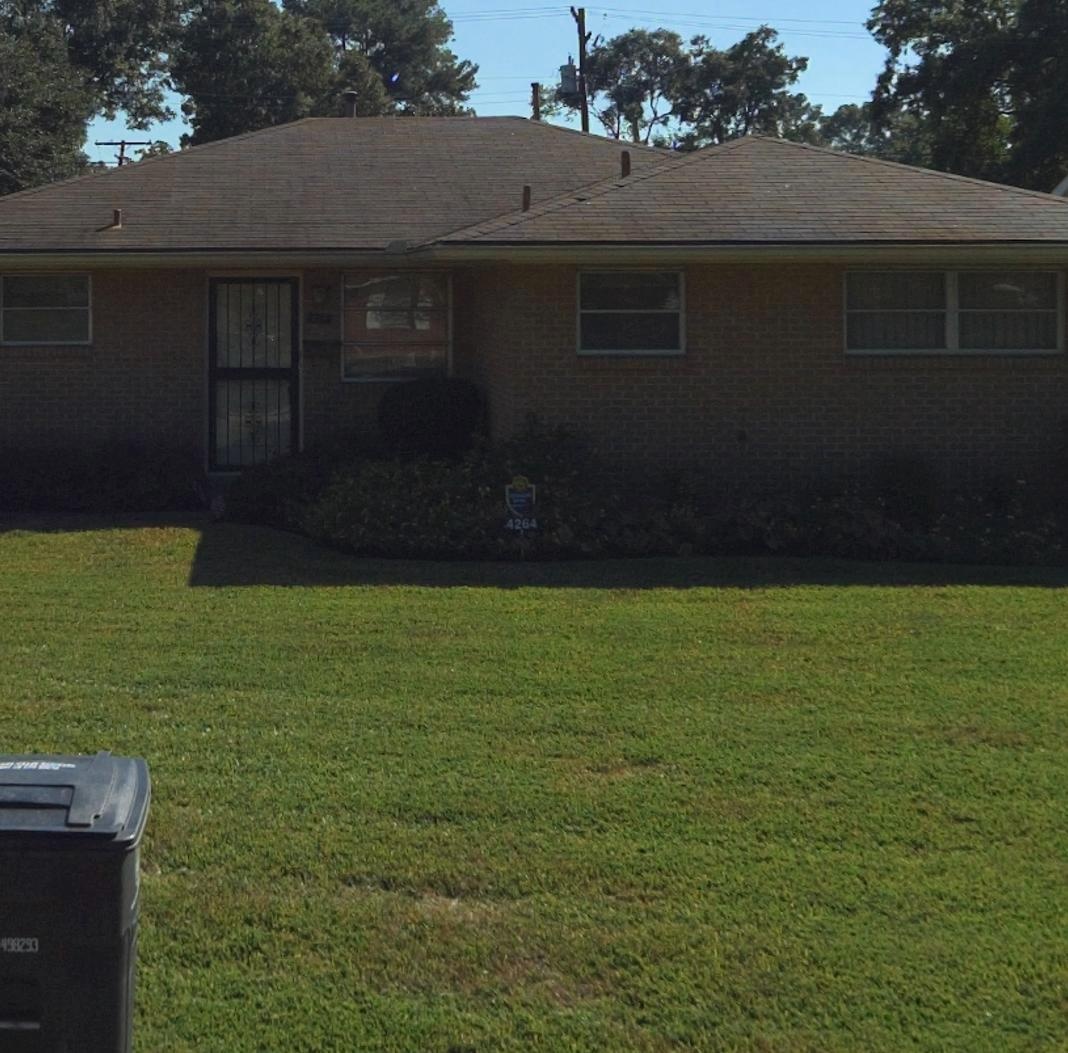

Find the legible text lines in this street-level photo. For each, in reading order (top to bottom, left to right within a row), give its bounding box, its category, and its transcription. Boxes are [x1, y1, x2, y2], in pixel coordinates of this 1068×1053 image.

[506, 518, 537, 530] StreetNumber: 4264
[0, 936, 40, 954] None: 498293